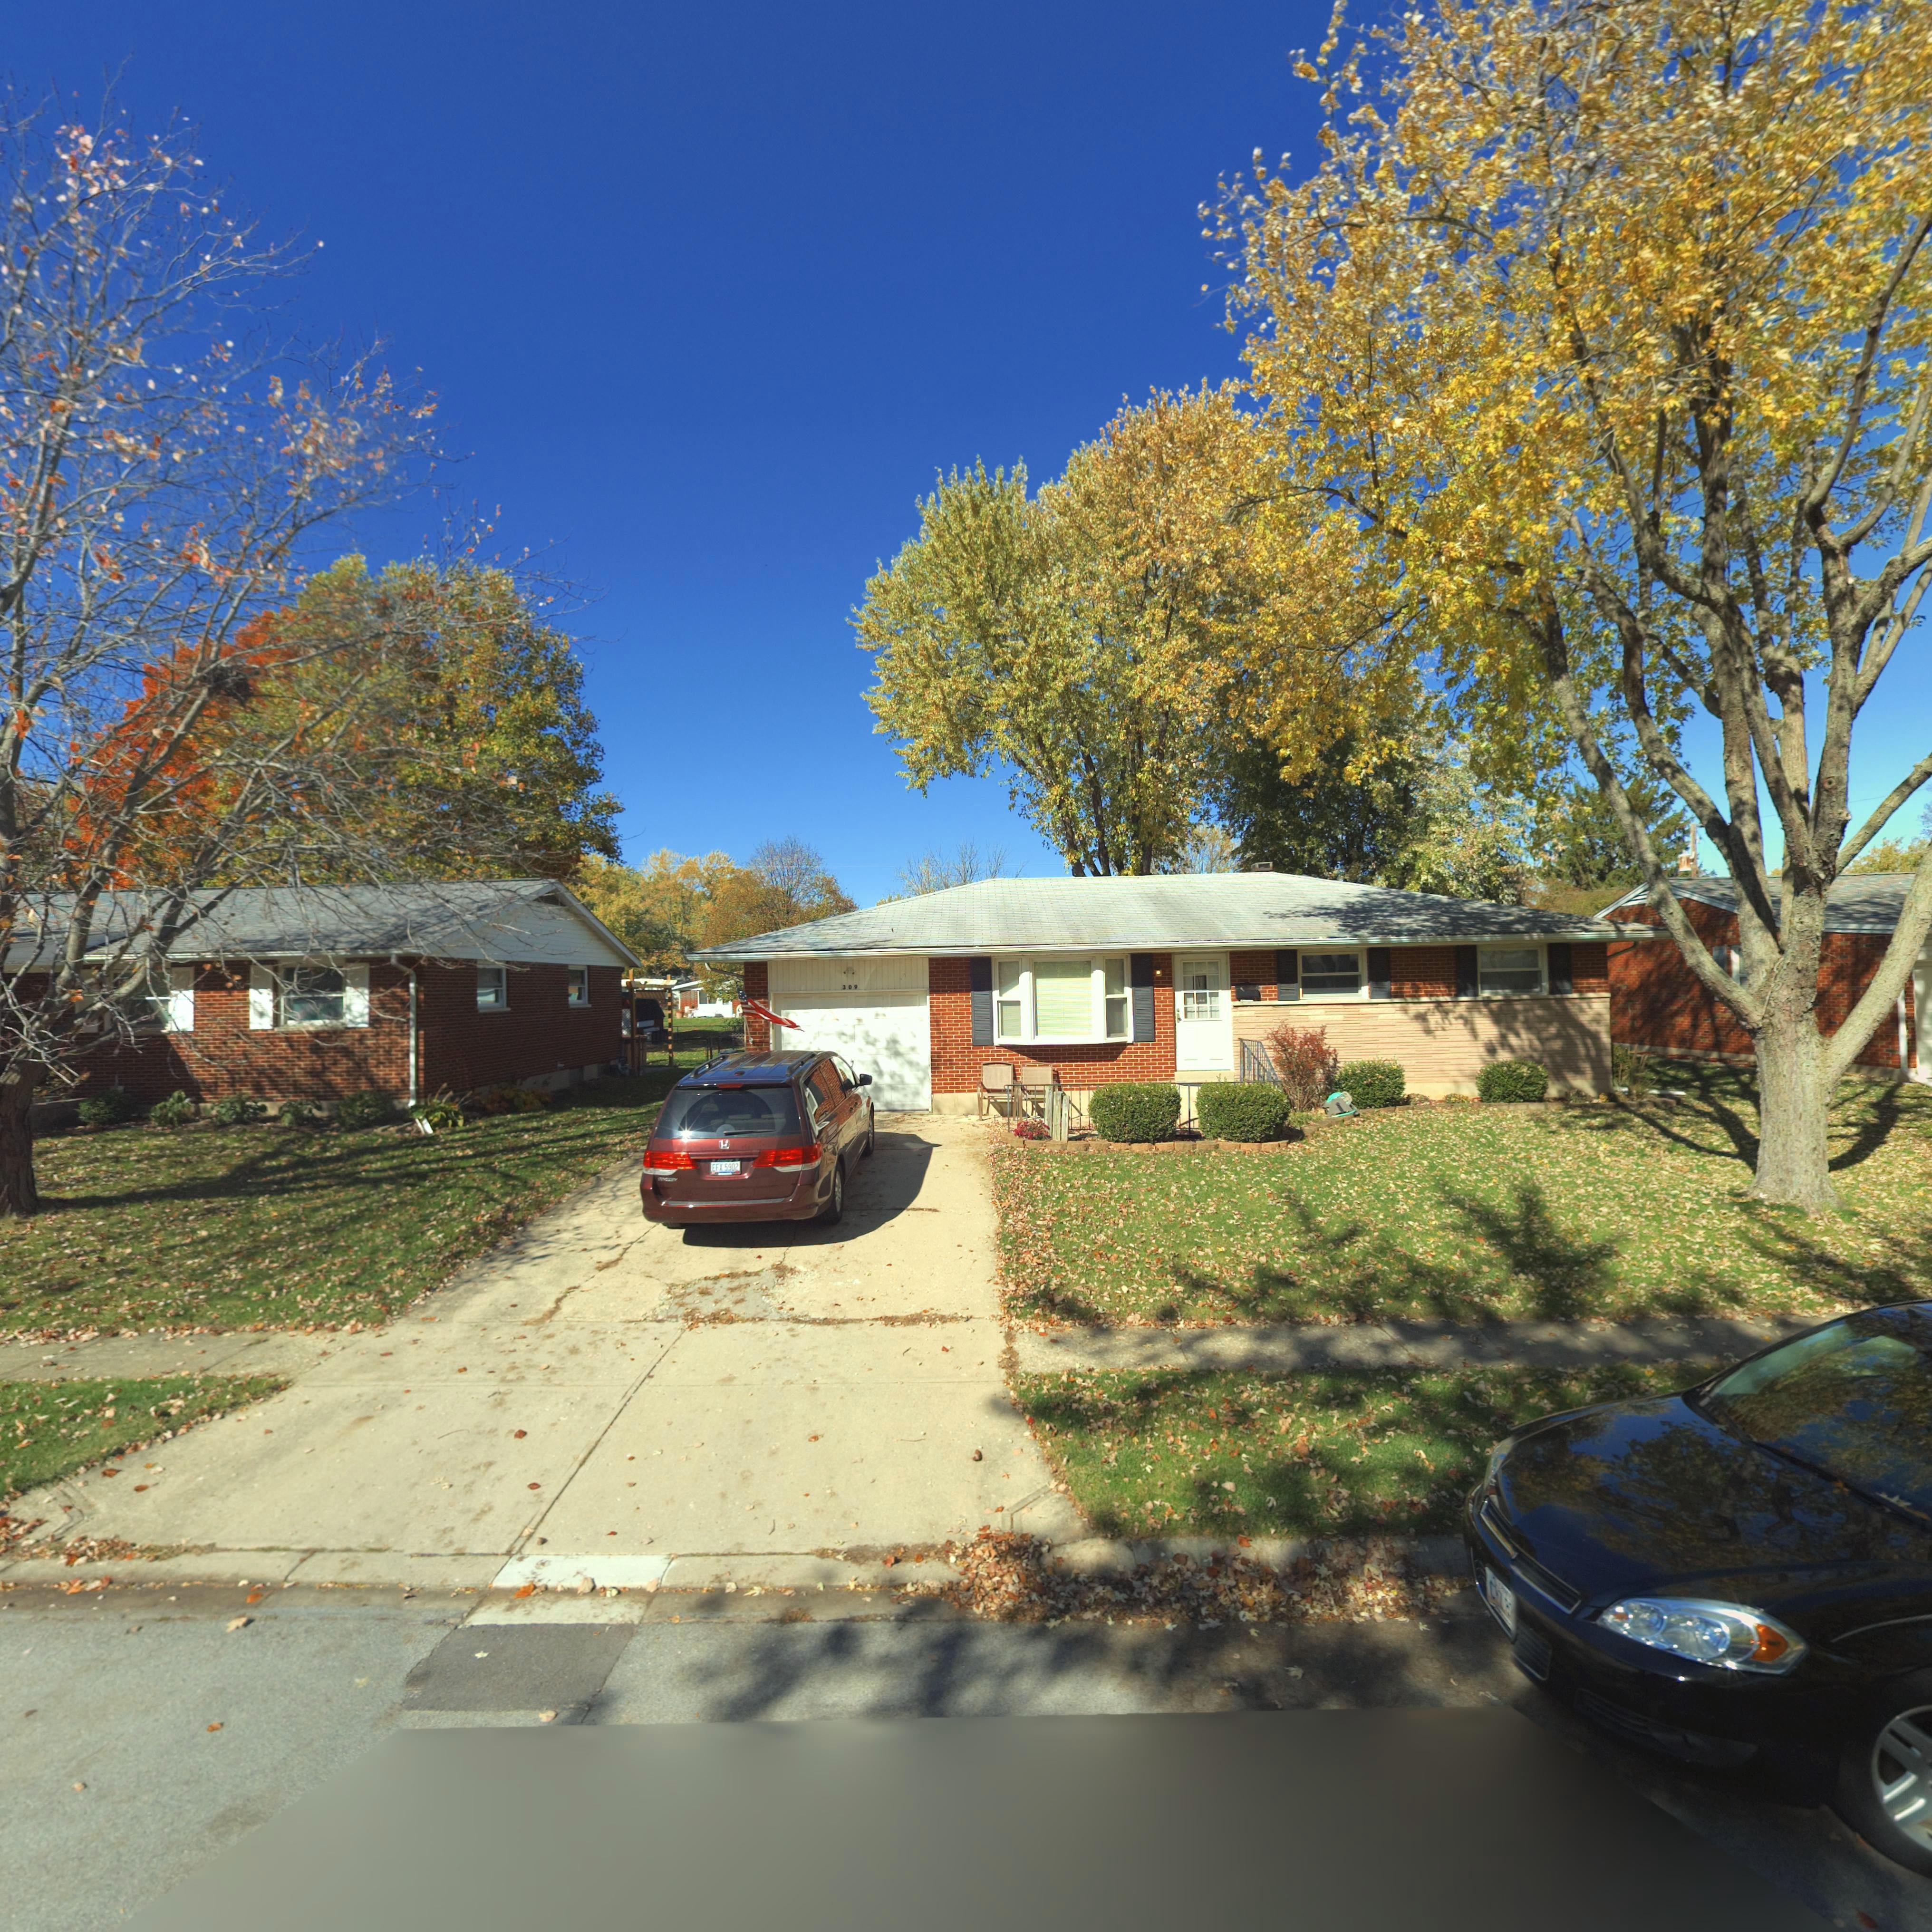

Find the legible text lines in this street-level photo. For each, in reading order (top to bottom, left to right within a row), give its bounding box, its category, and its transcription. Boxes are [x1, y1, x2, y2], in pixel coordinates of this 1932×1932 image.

[841, 983, 859, 991] StreetNumber: 309
[712, 1162, 739, 1173] None: EFX*5902
[1489, 1578, 1497, 1602] None: C